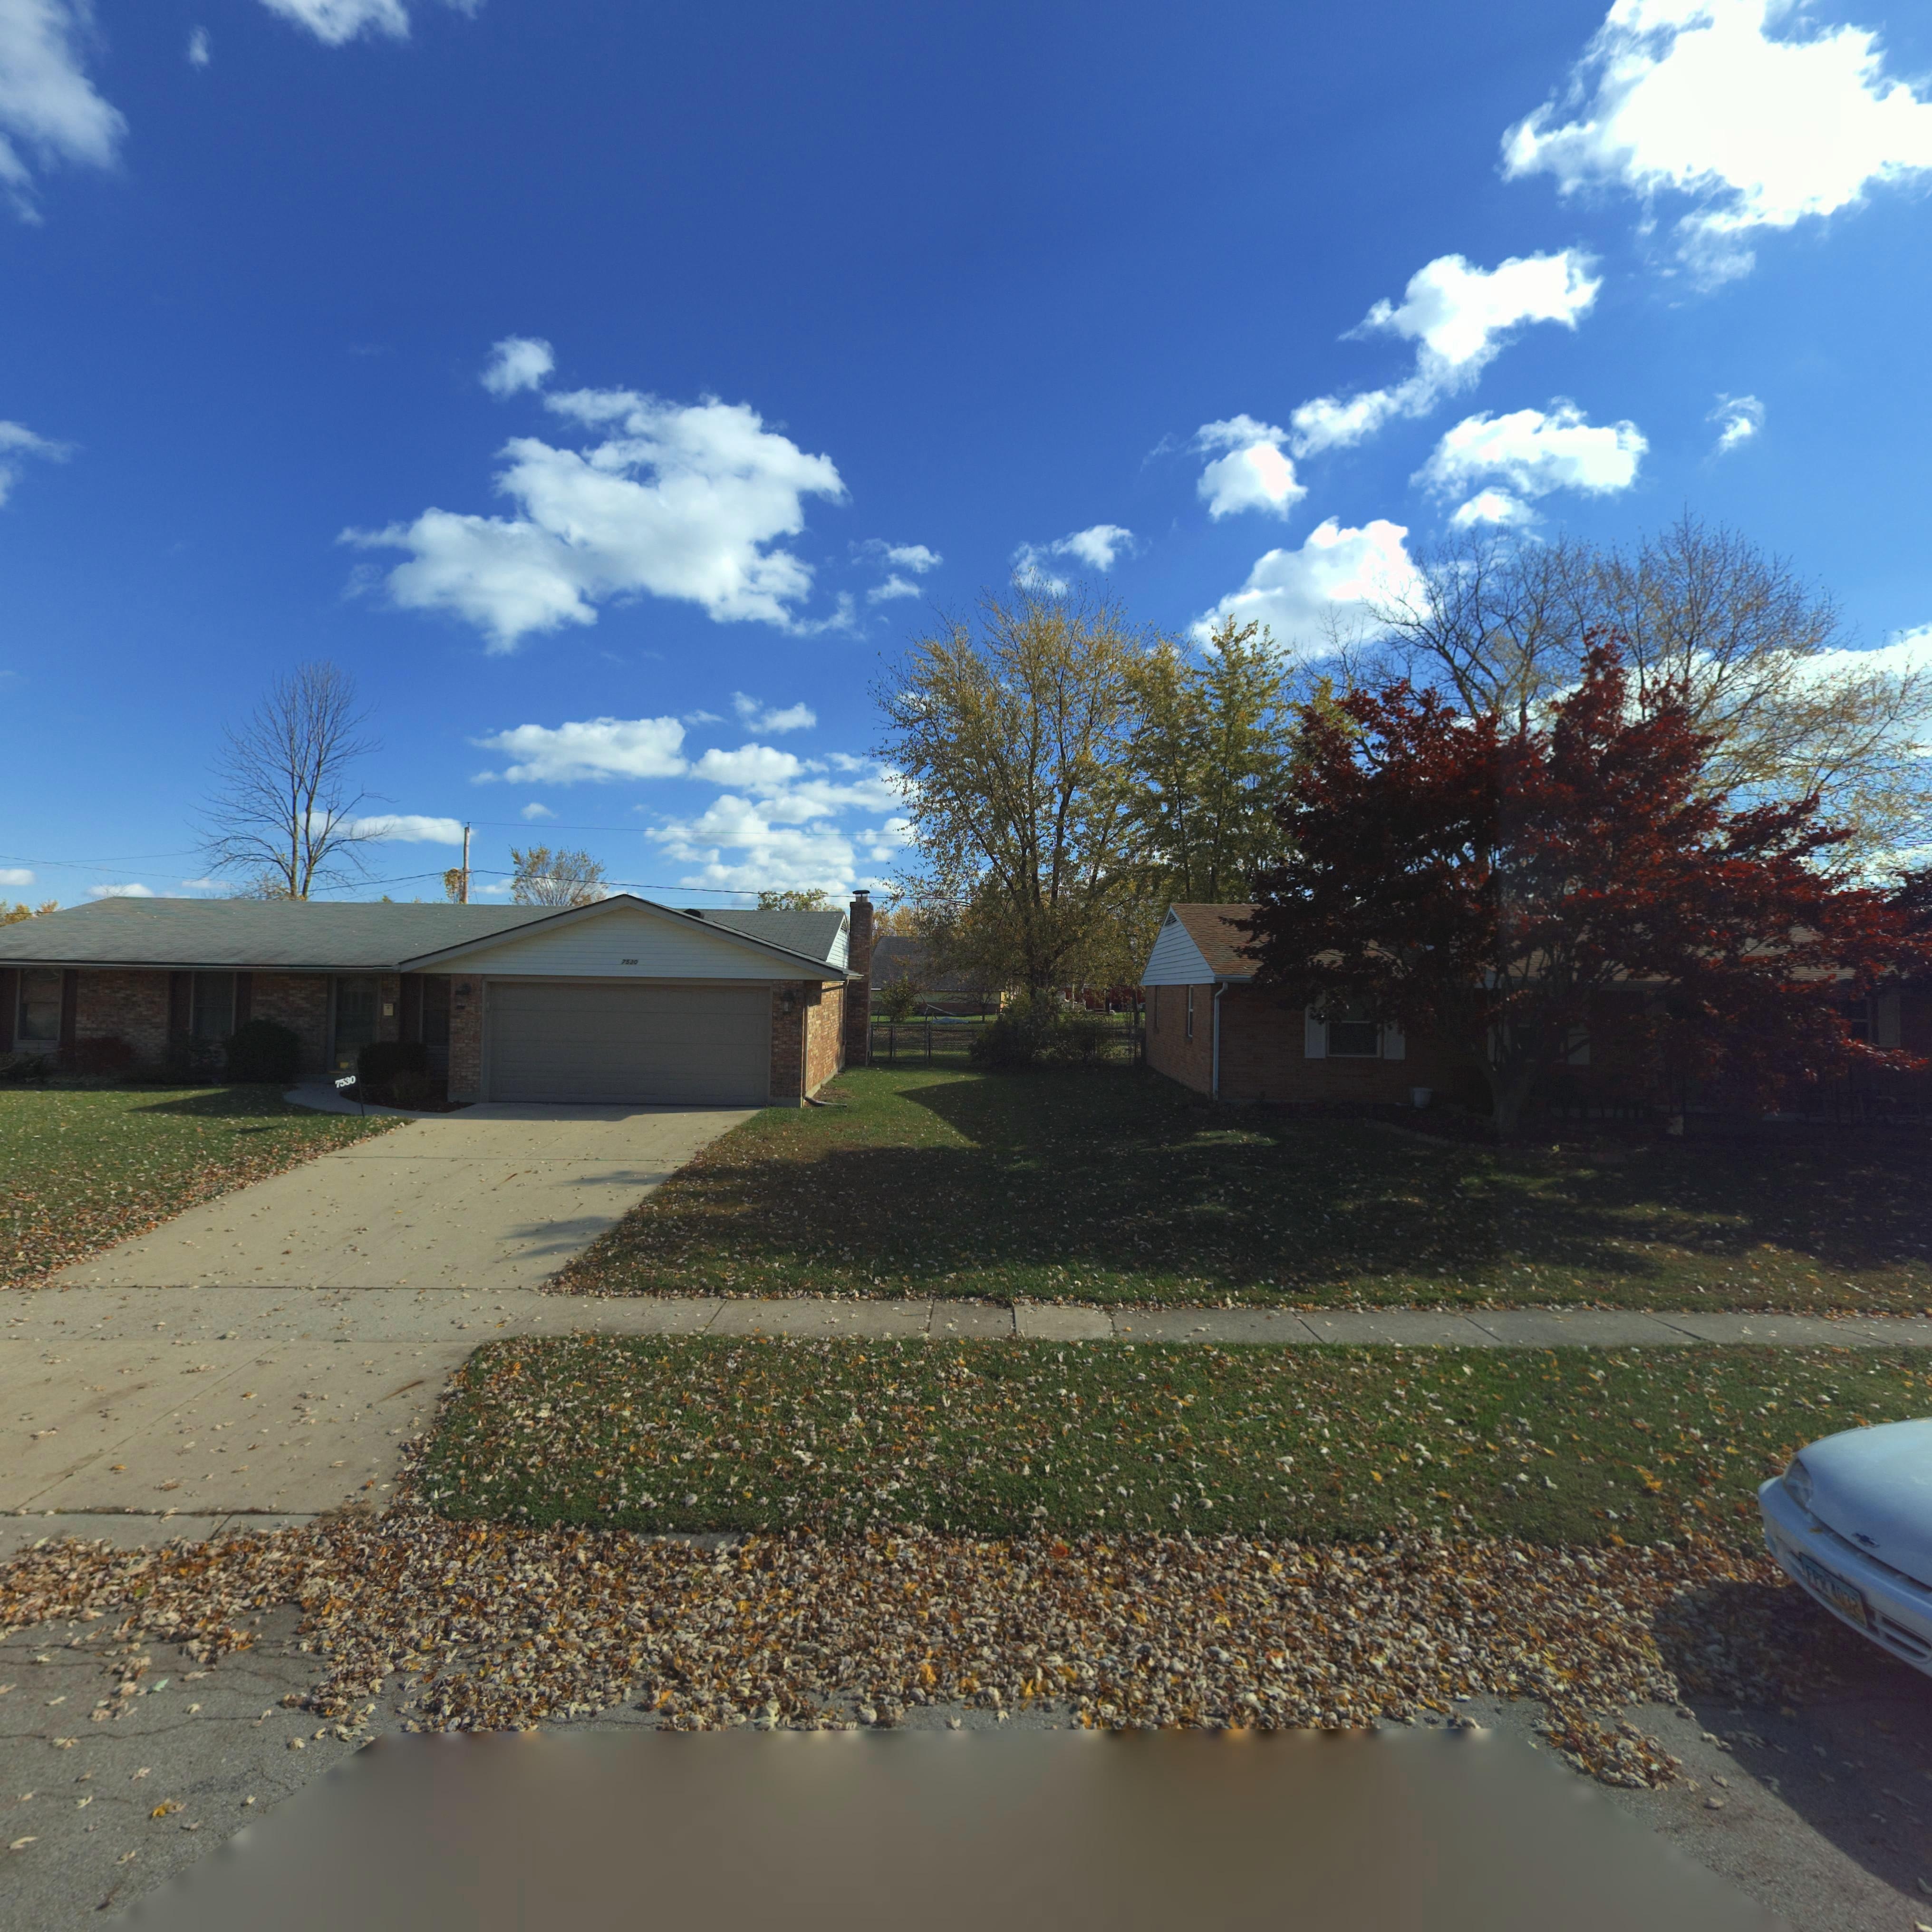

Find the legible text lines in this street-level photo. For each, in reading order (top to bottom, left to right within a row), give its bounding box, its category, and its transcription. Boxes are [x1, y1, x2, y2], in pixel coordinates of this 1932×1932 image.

[620, 958, 639, 966] StreetNumber: 7530
[334, 1073, 357, 1090] StreetNumber: 7530